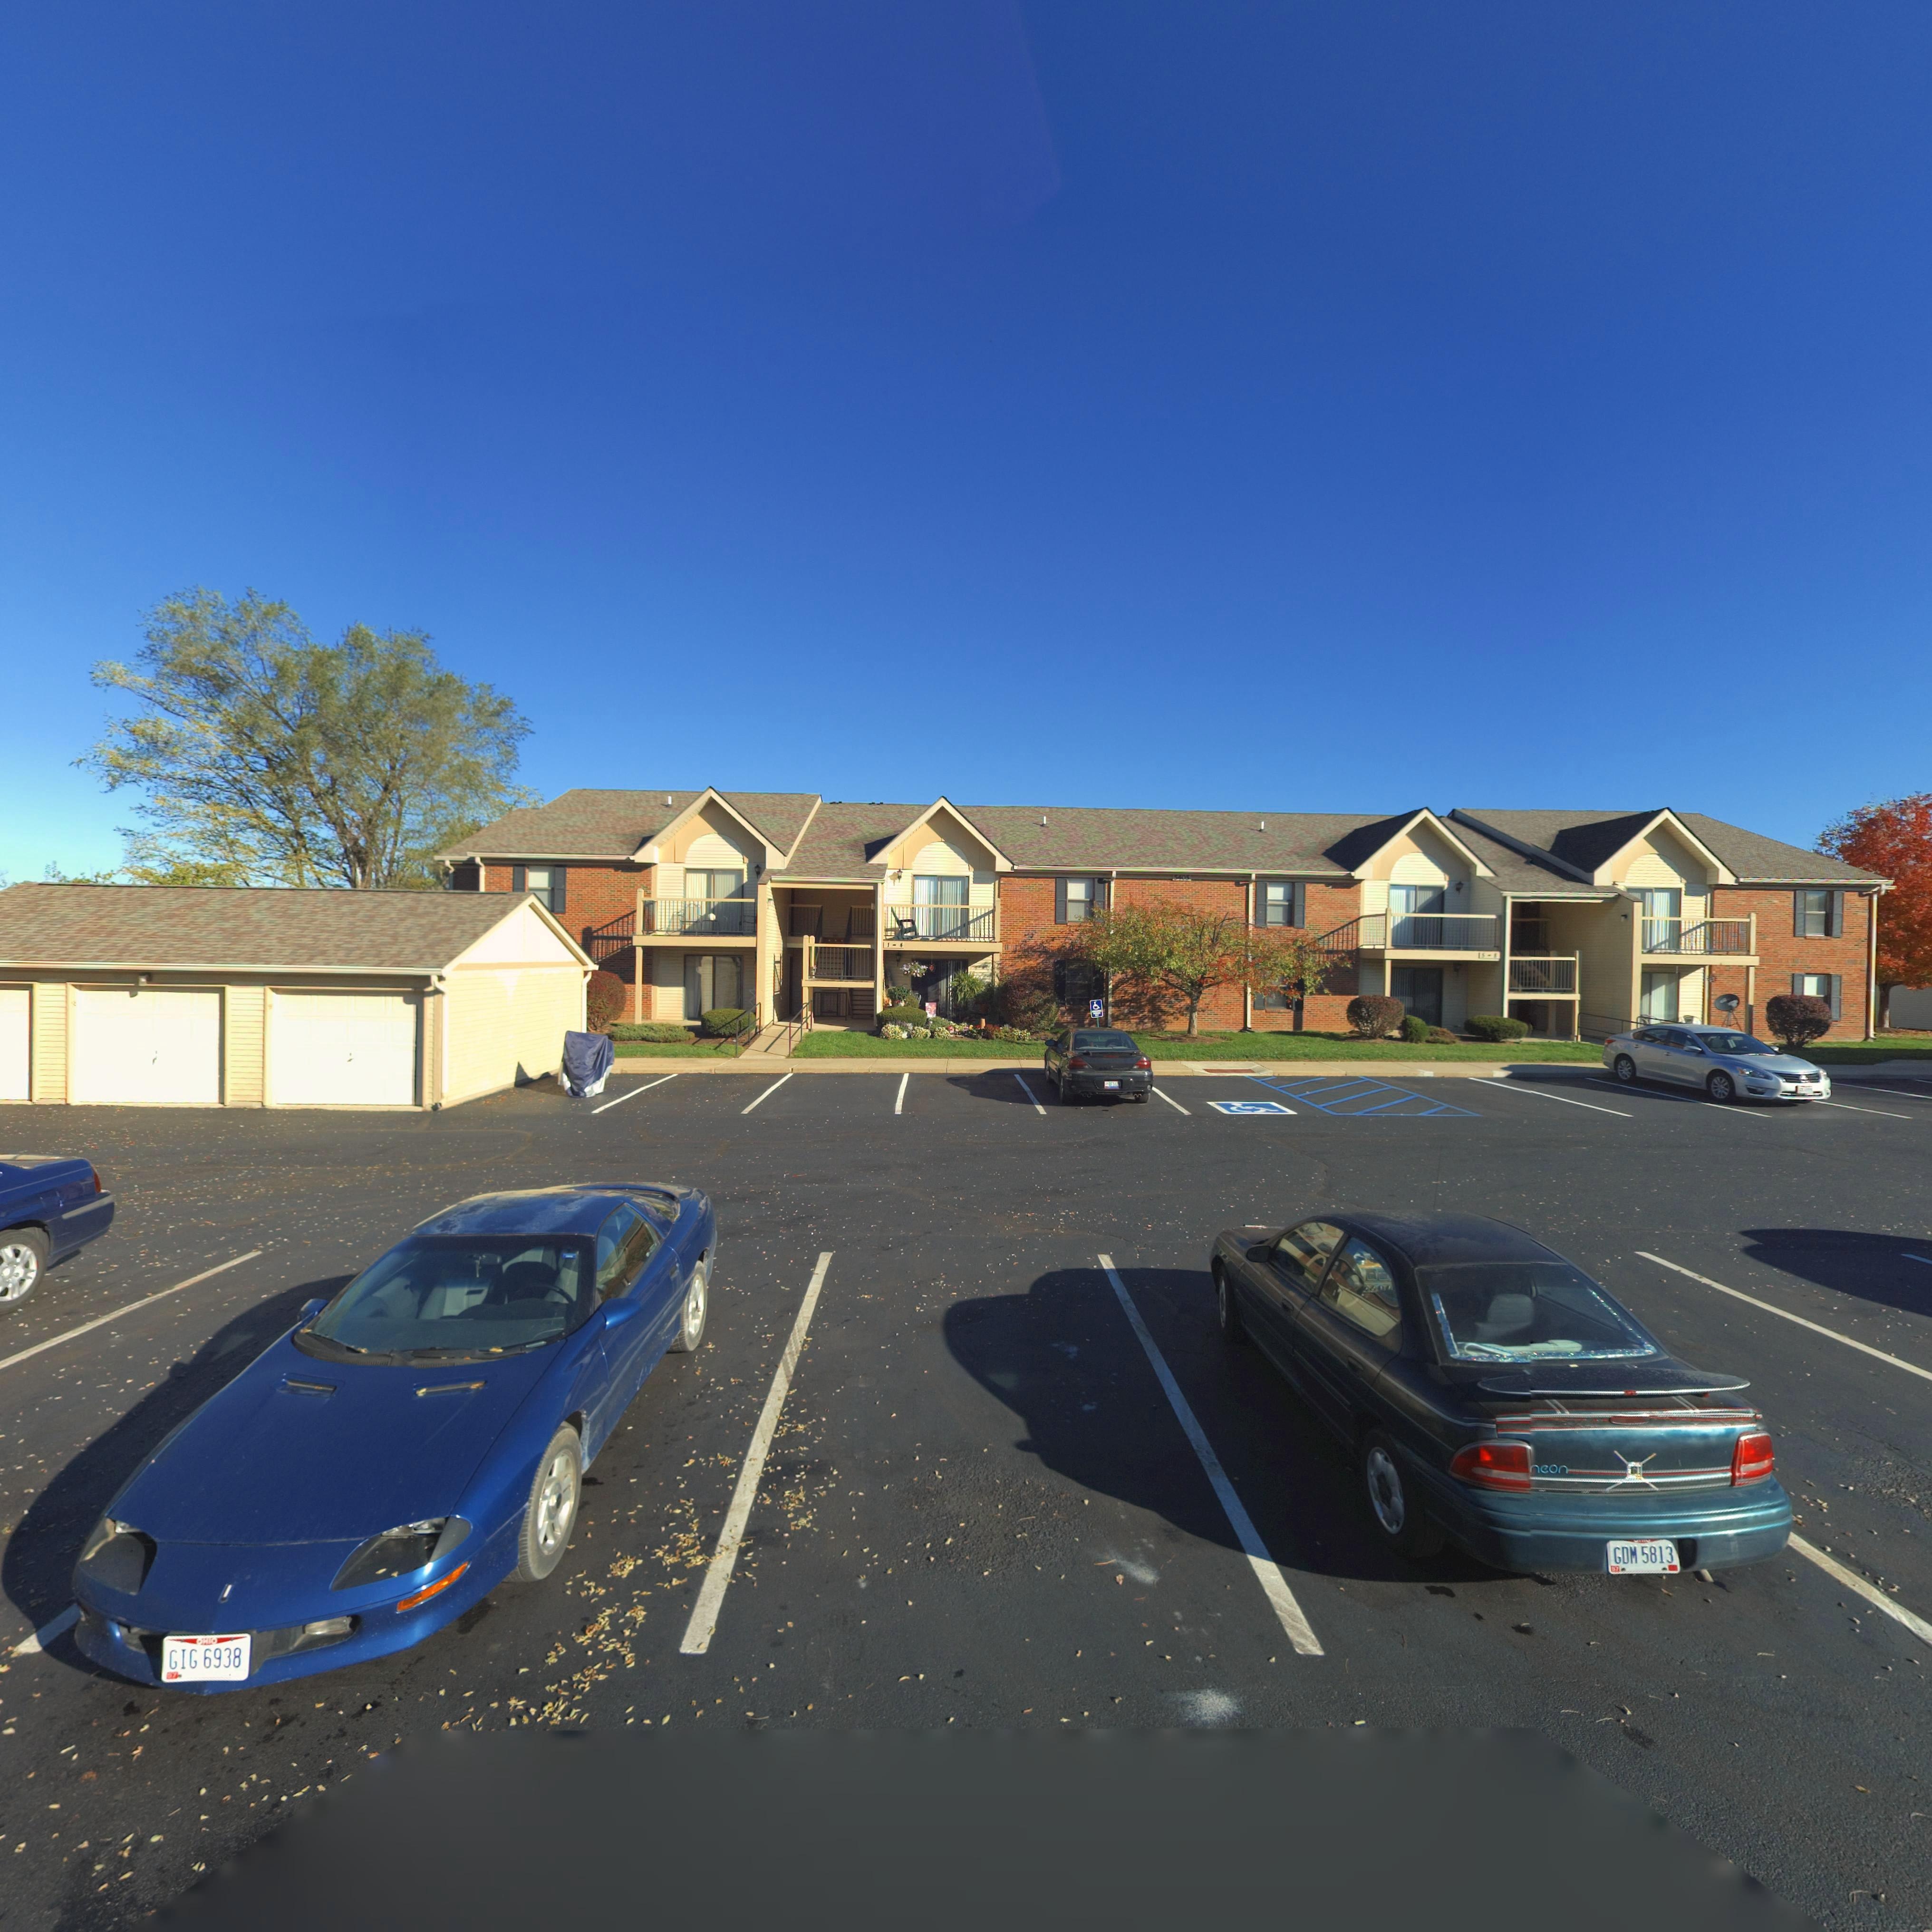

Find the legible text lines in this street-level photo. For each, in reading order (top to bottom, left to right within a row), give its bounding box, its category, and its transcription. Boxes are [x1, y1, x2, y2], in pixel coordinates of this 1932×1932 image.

[886, 942, 903, 948] StreetNumber: 1-4
[1481, 952, 1497, 958] StreetNumber: 5-8